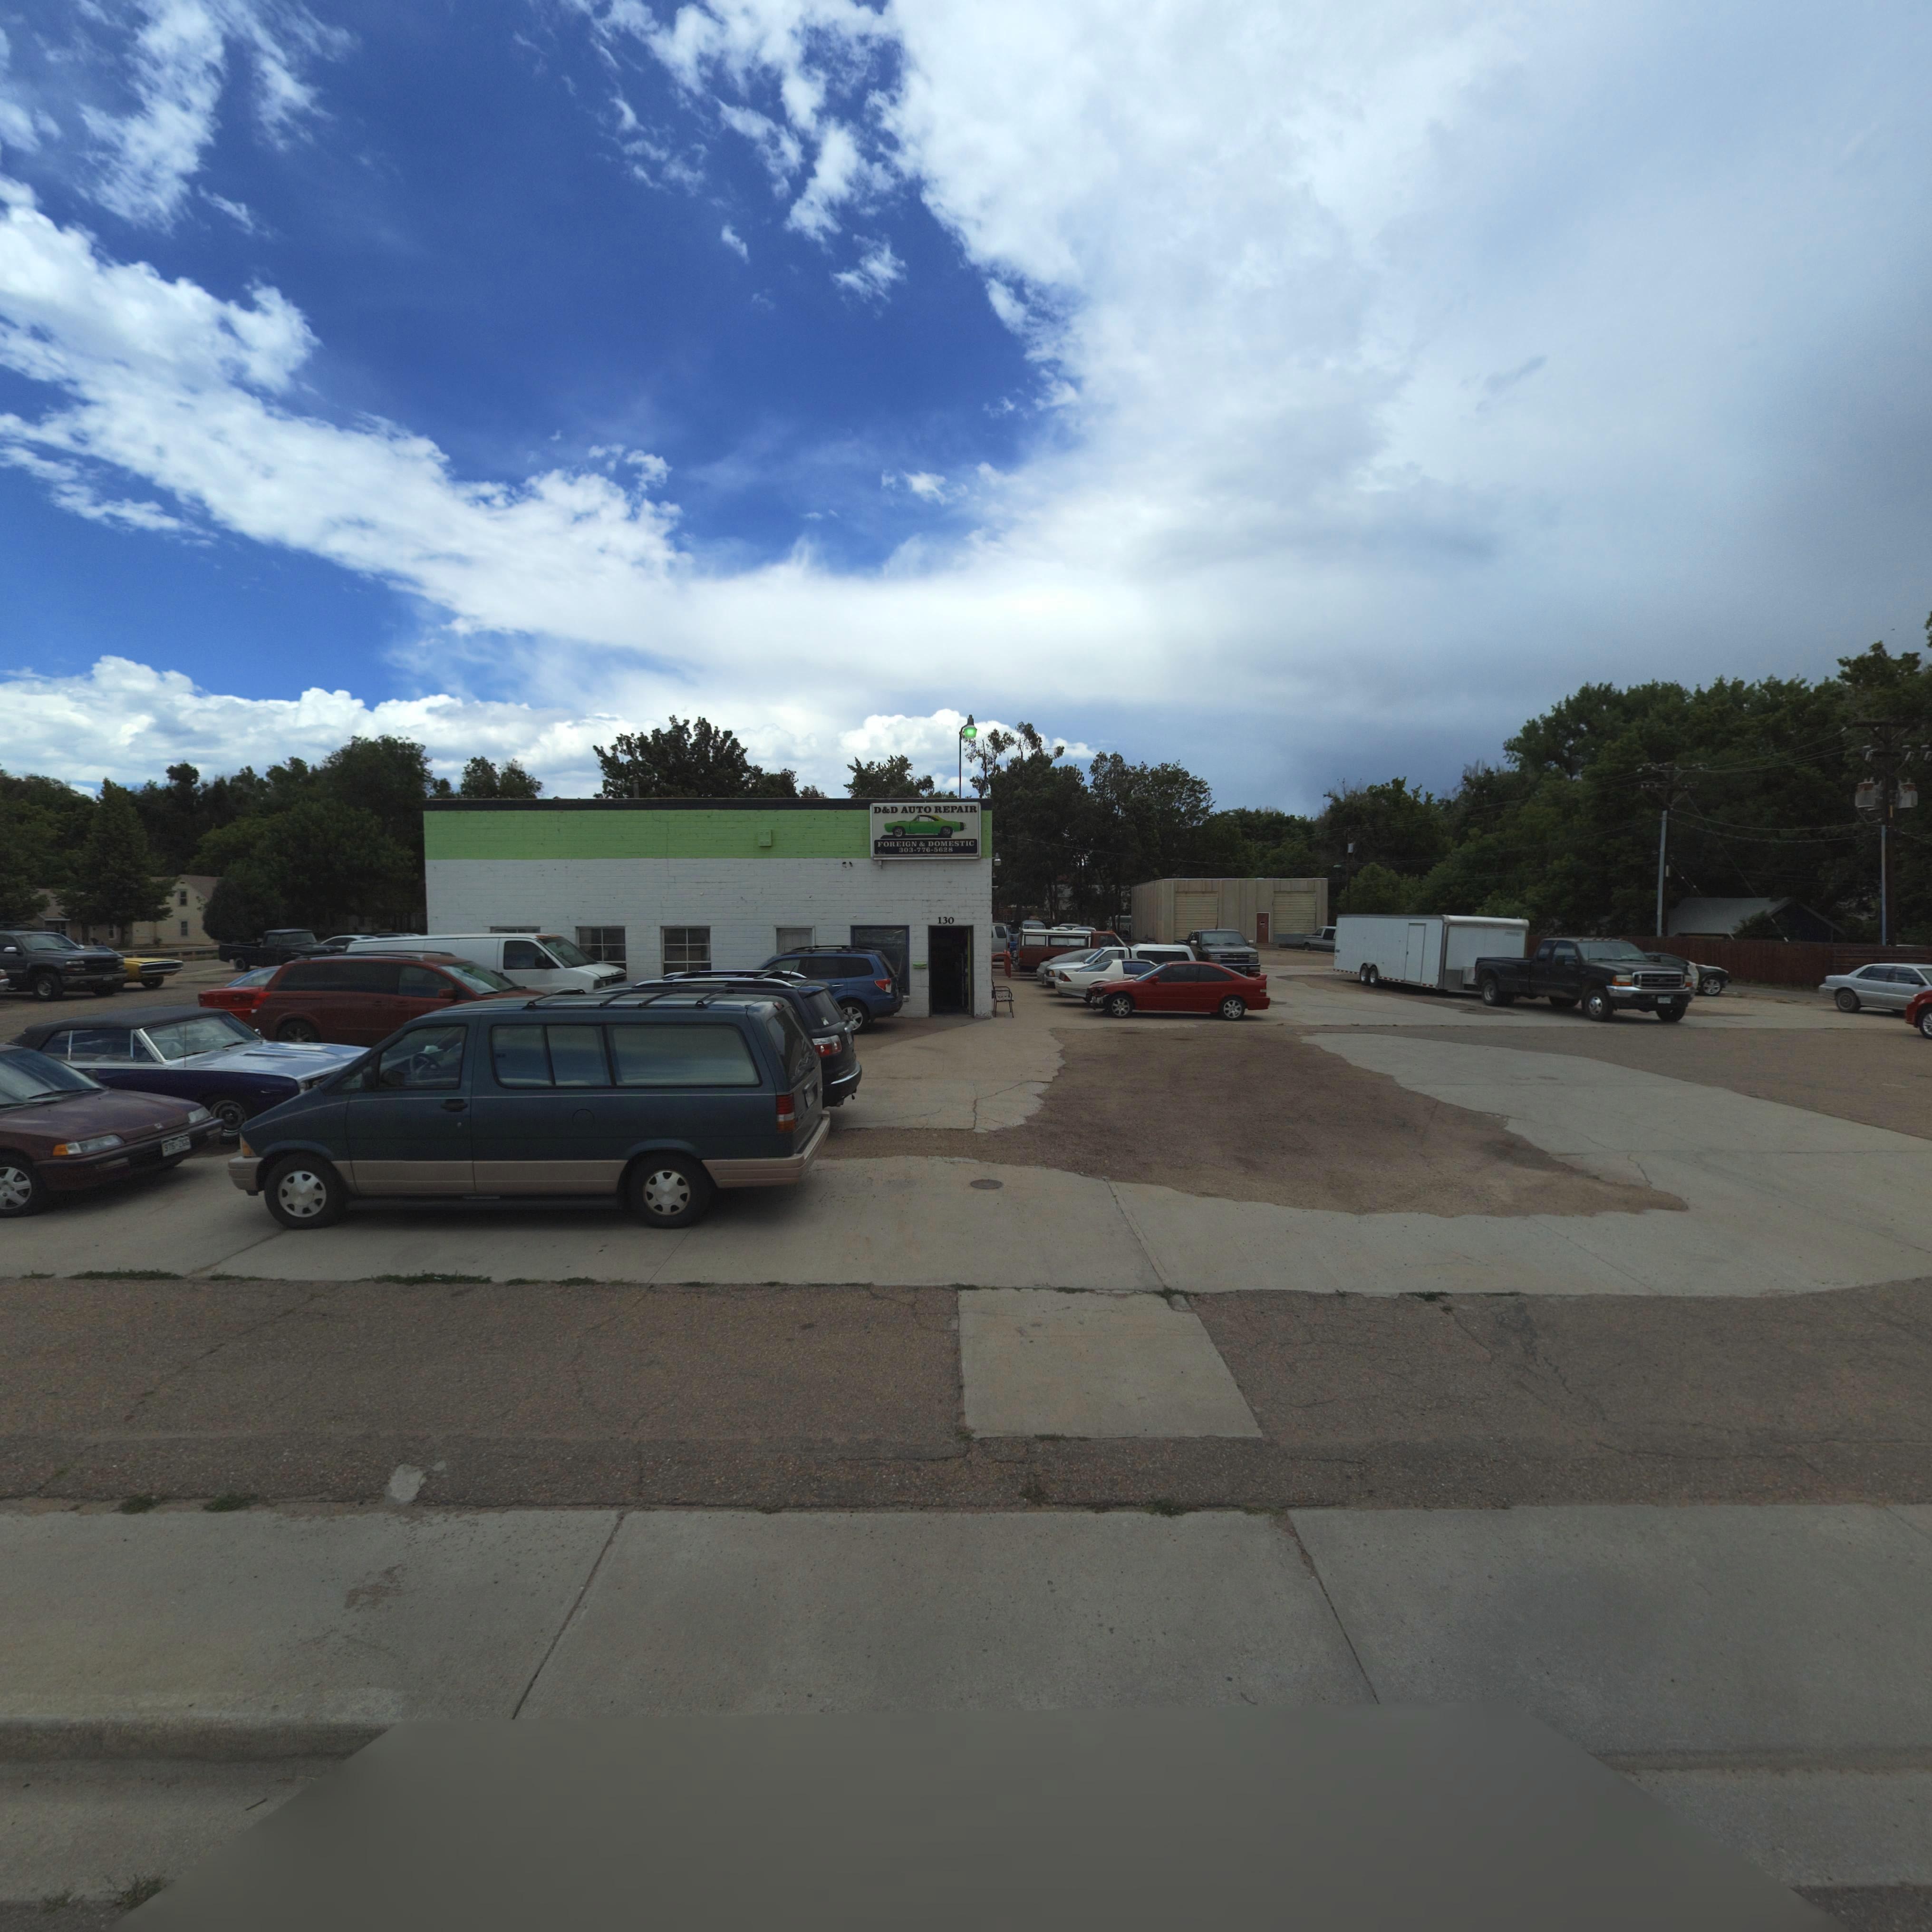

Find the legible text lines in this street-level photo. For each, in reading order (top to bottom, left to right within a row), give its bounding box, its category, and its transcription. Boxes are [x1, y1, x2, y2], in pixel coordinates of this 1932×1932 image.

[873, 805, 977, 814] BusinessName: D&D AUTO REPAIR
[937, 916, 954, 925] StreetNumber: 130